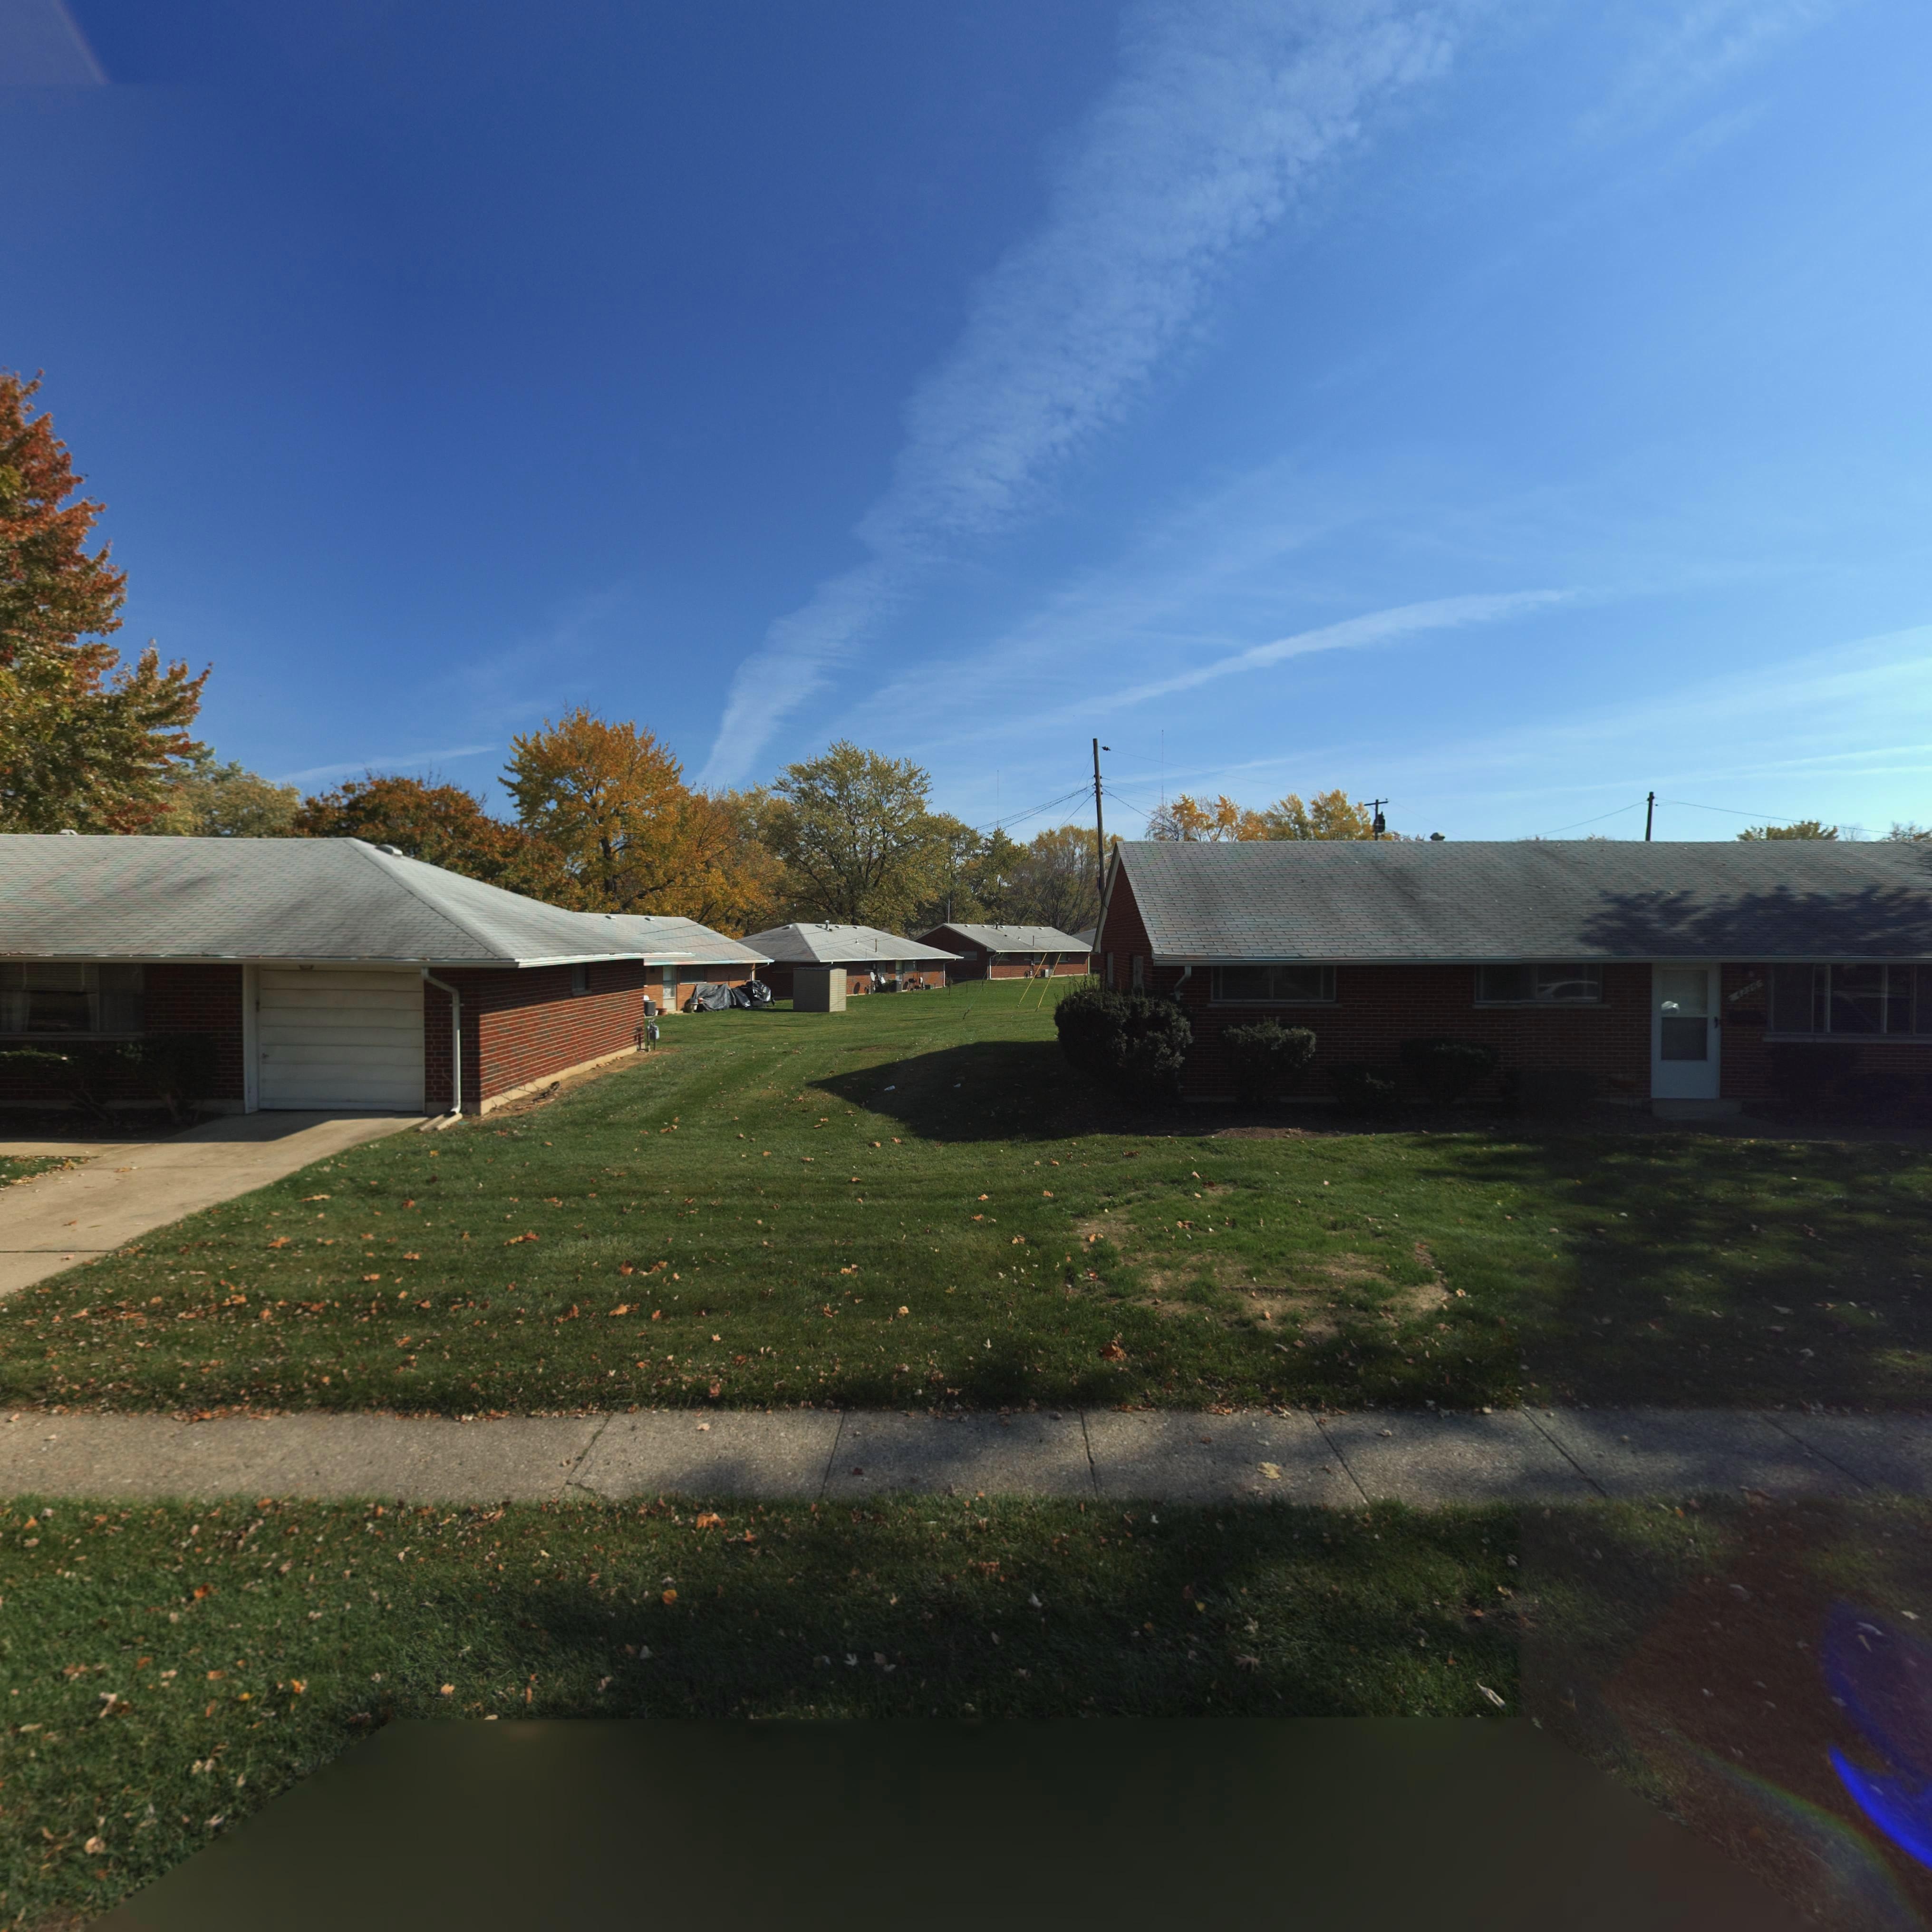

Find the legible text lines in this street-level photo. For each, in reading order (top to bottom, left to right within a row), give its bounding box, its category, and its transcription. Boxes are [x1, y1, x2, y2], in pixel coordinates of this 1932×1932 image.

[1736, 981, 1758, 998] StreetNumber: 4236